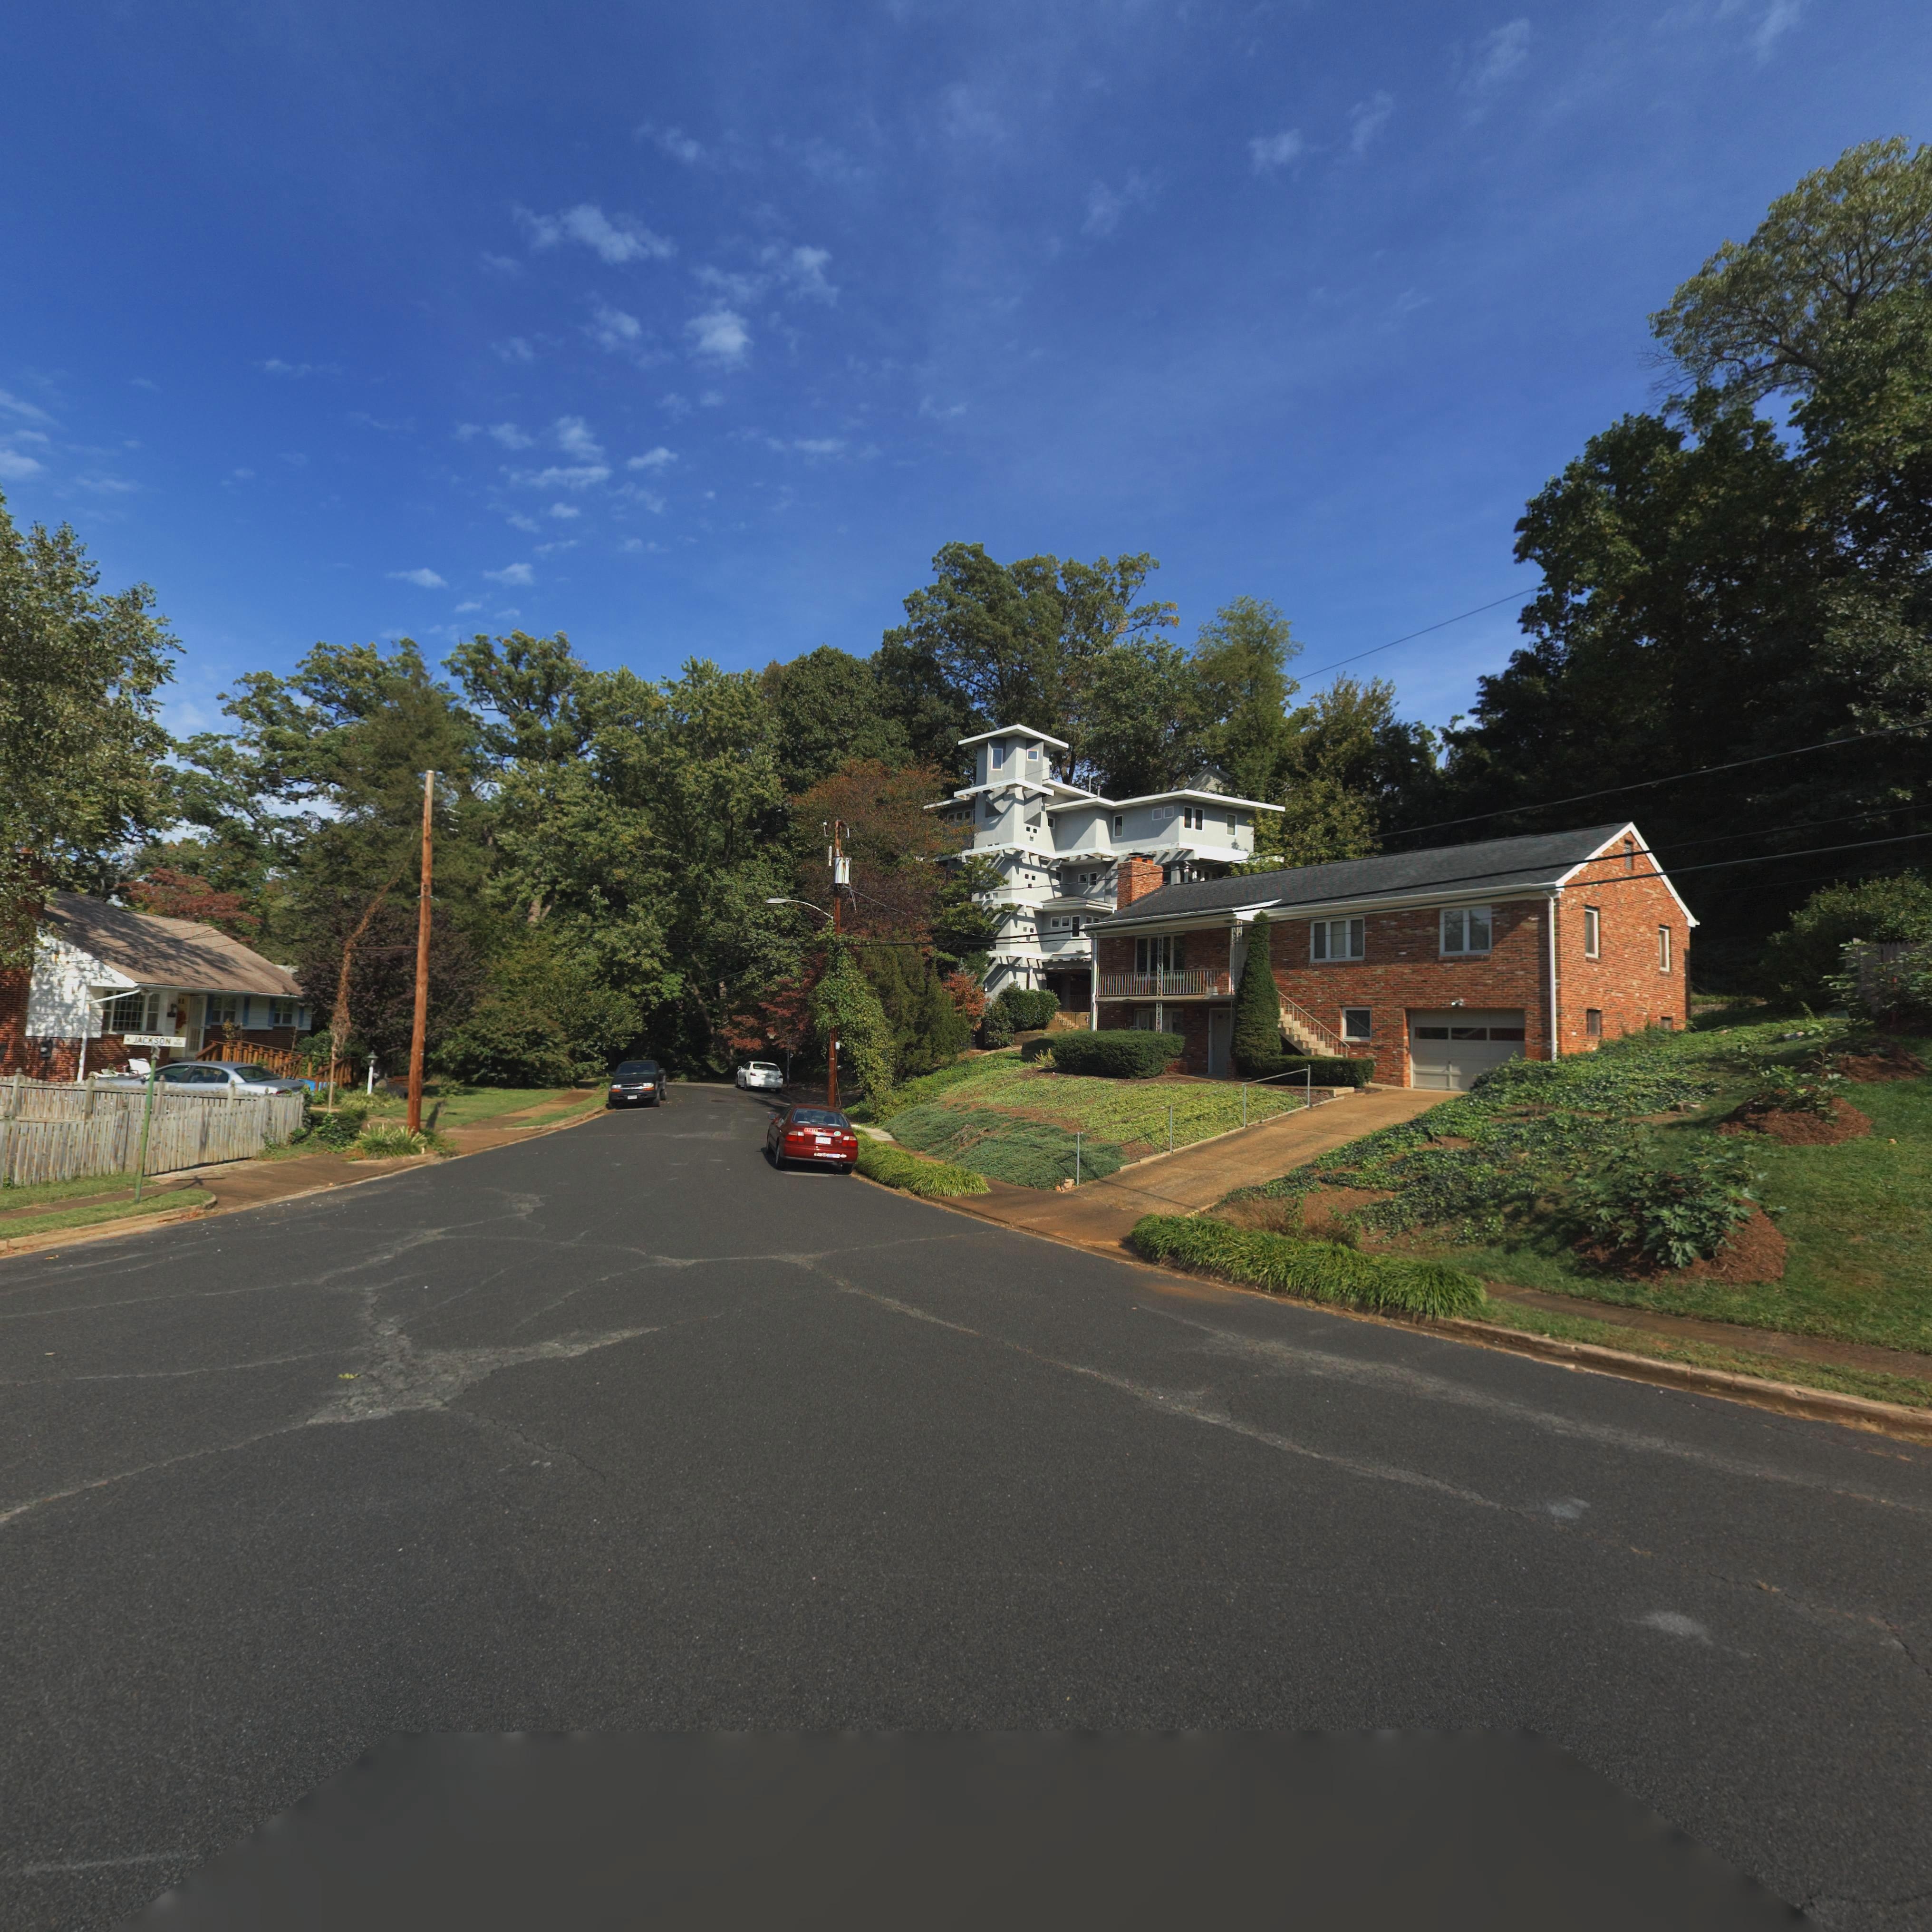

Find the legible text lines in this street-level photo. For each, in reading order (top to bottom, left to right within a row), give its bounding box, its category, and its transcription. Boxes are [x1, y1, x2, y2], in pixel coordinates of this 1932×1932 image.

[1212, 942, 1227, 948] StreetNumber: 1829
[126, 1036, 182, 1045] None: S JACKSON ST